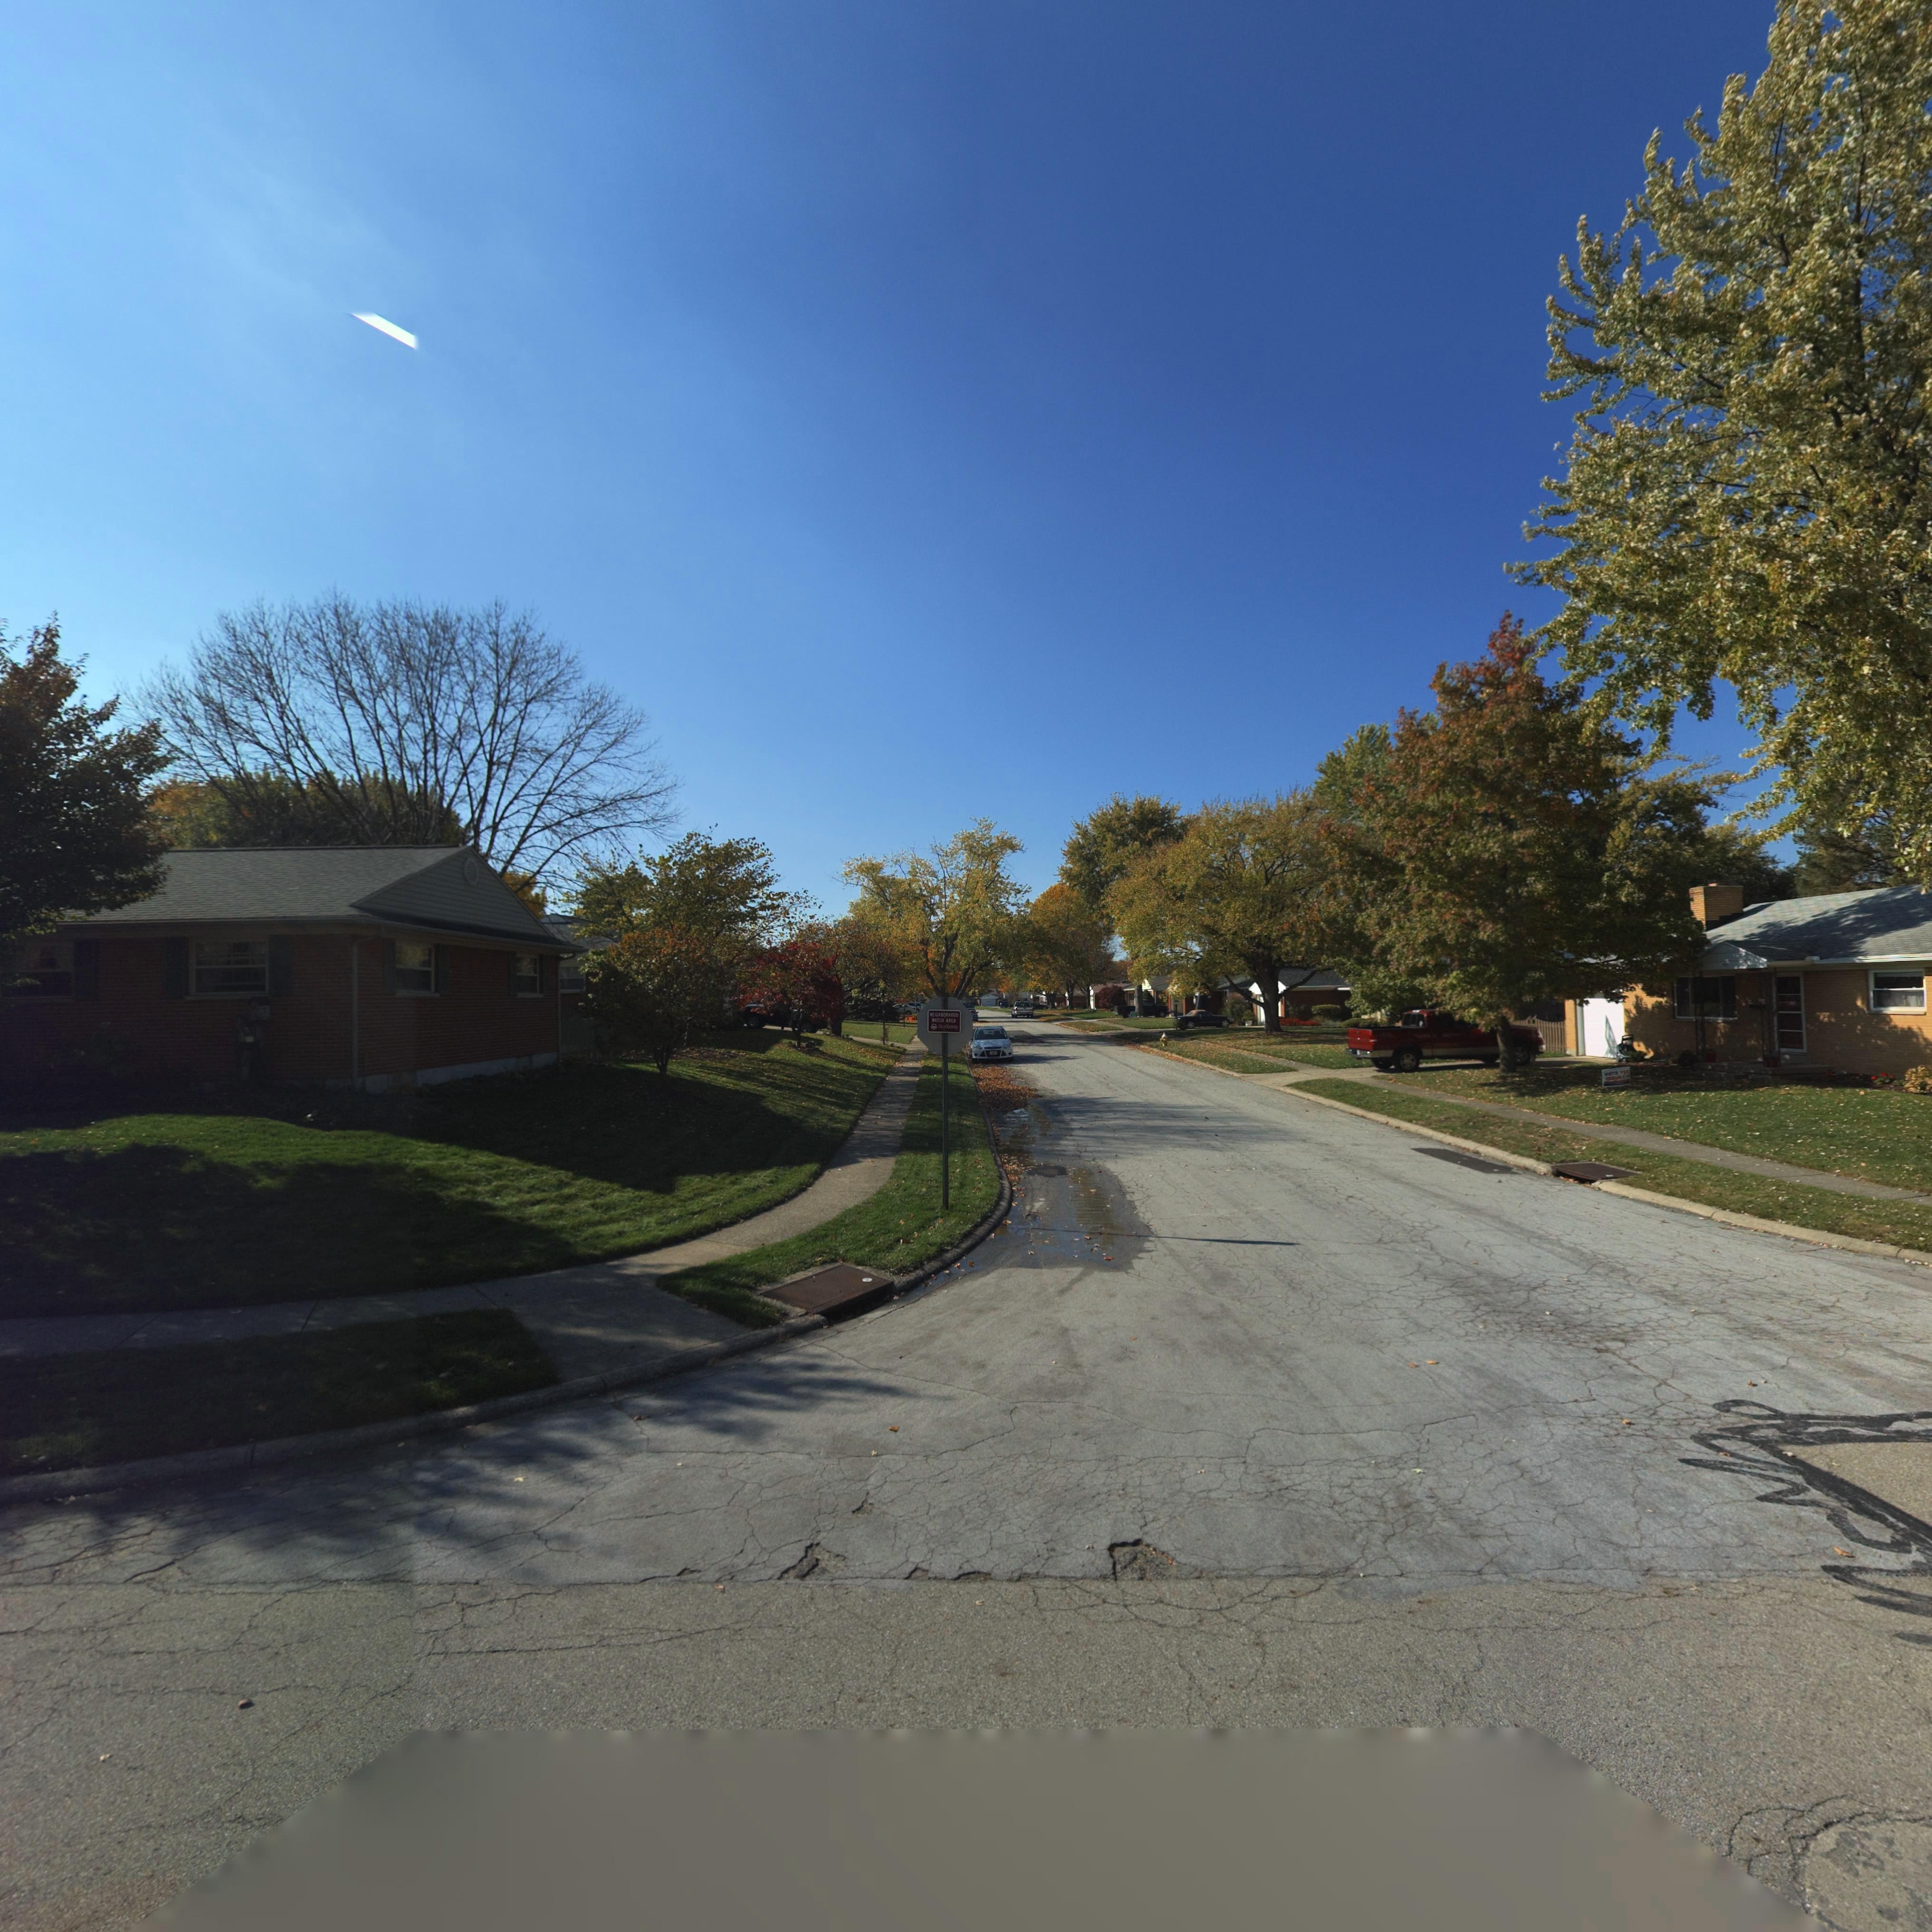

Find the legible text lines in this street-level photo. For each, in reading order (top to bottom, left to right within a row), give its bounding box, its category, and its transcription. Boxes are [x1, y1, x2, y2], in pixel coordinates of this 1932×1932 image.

[1604, 1071, 1620, 1077] None: VOTE